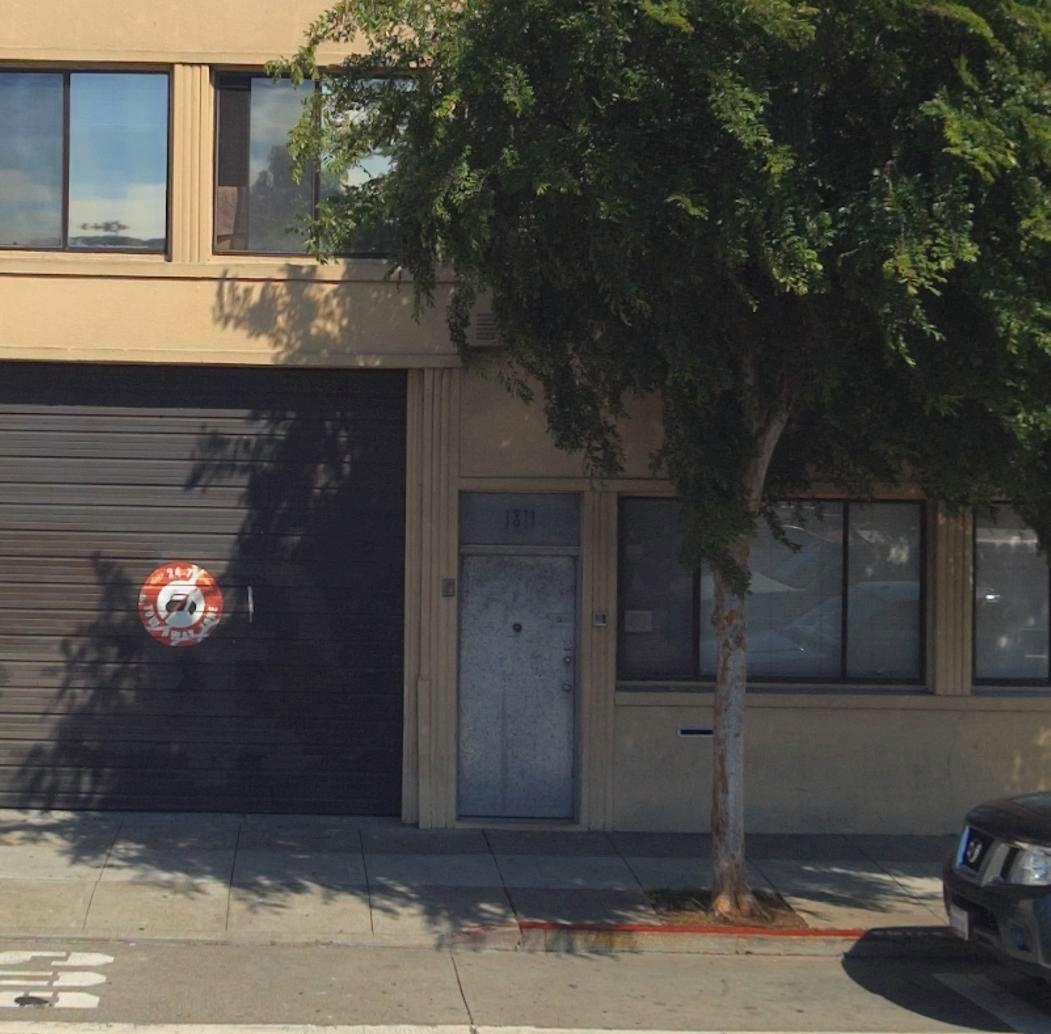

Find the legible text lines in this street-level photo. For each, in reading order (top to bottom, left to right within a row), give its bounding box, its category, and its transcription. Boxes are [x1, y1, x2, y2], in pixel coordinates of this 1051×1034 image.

[503, 507, 537, 529] StreetNumber: 1811
[165, 566, 196, 581] None: 24-7
[142, 604, 220, 642] None: TOW AWAY ZONE